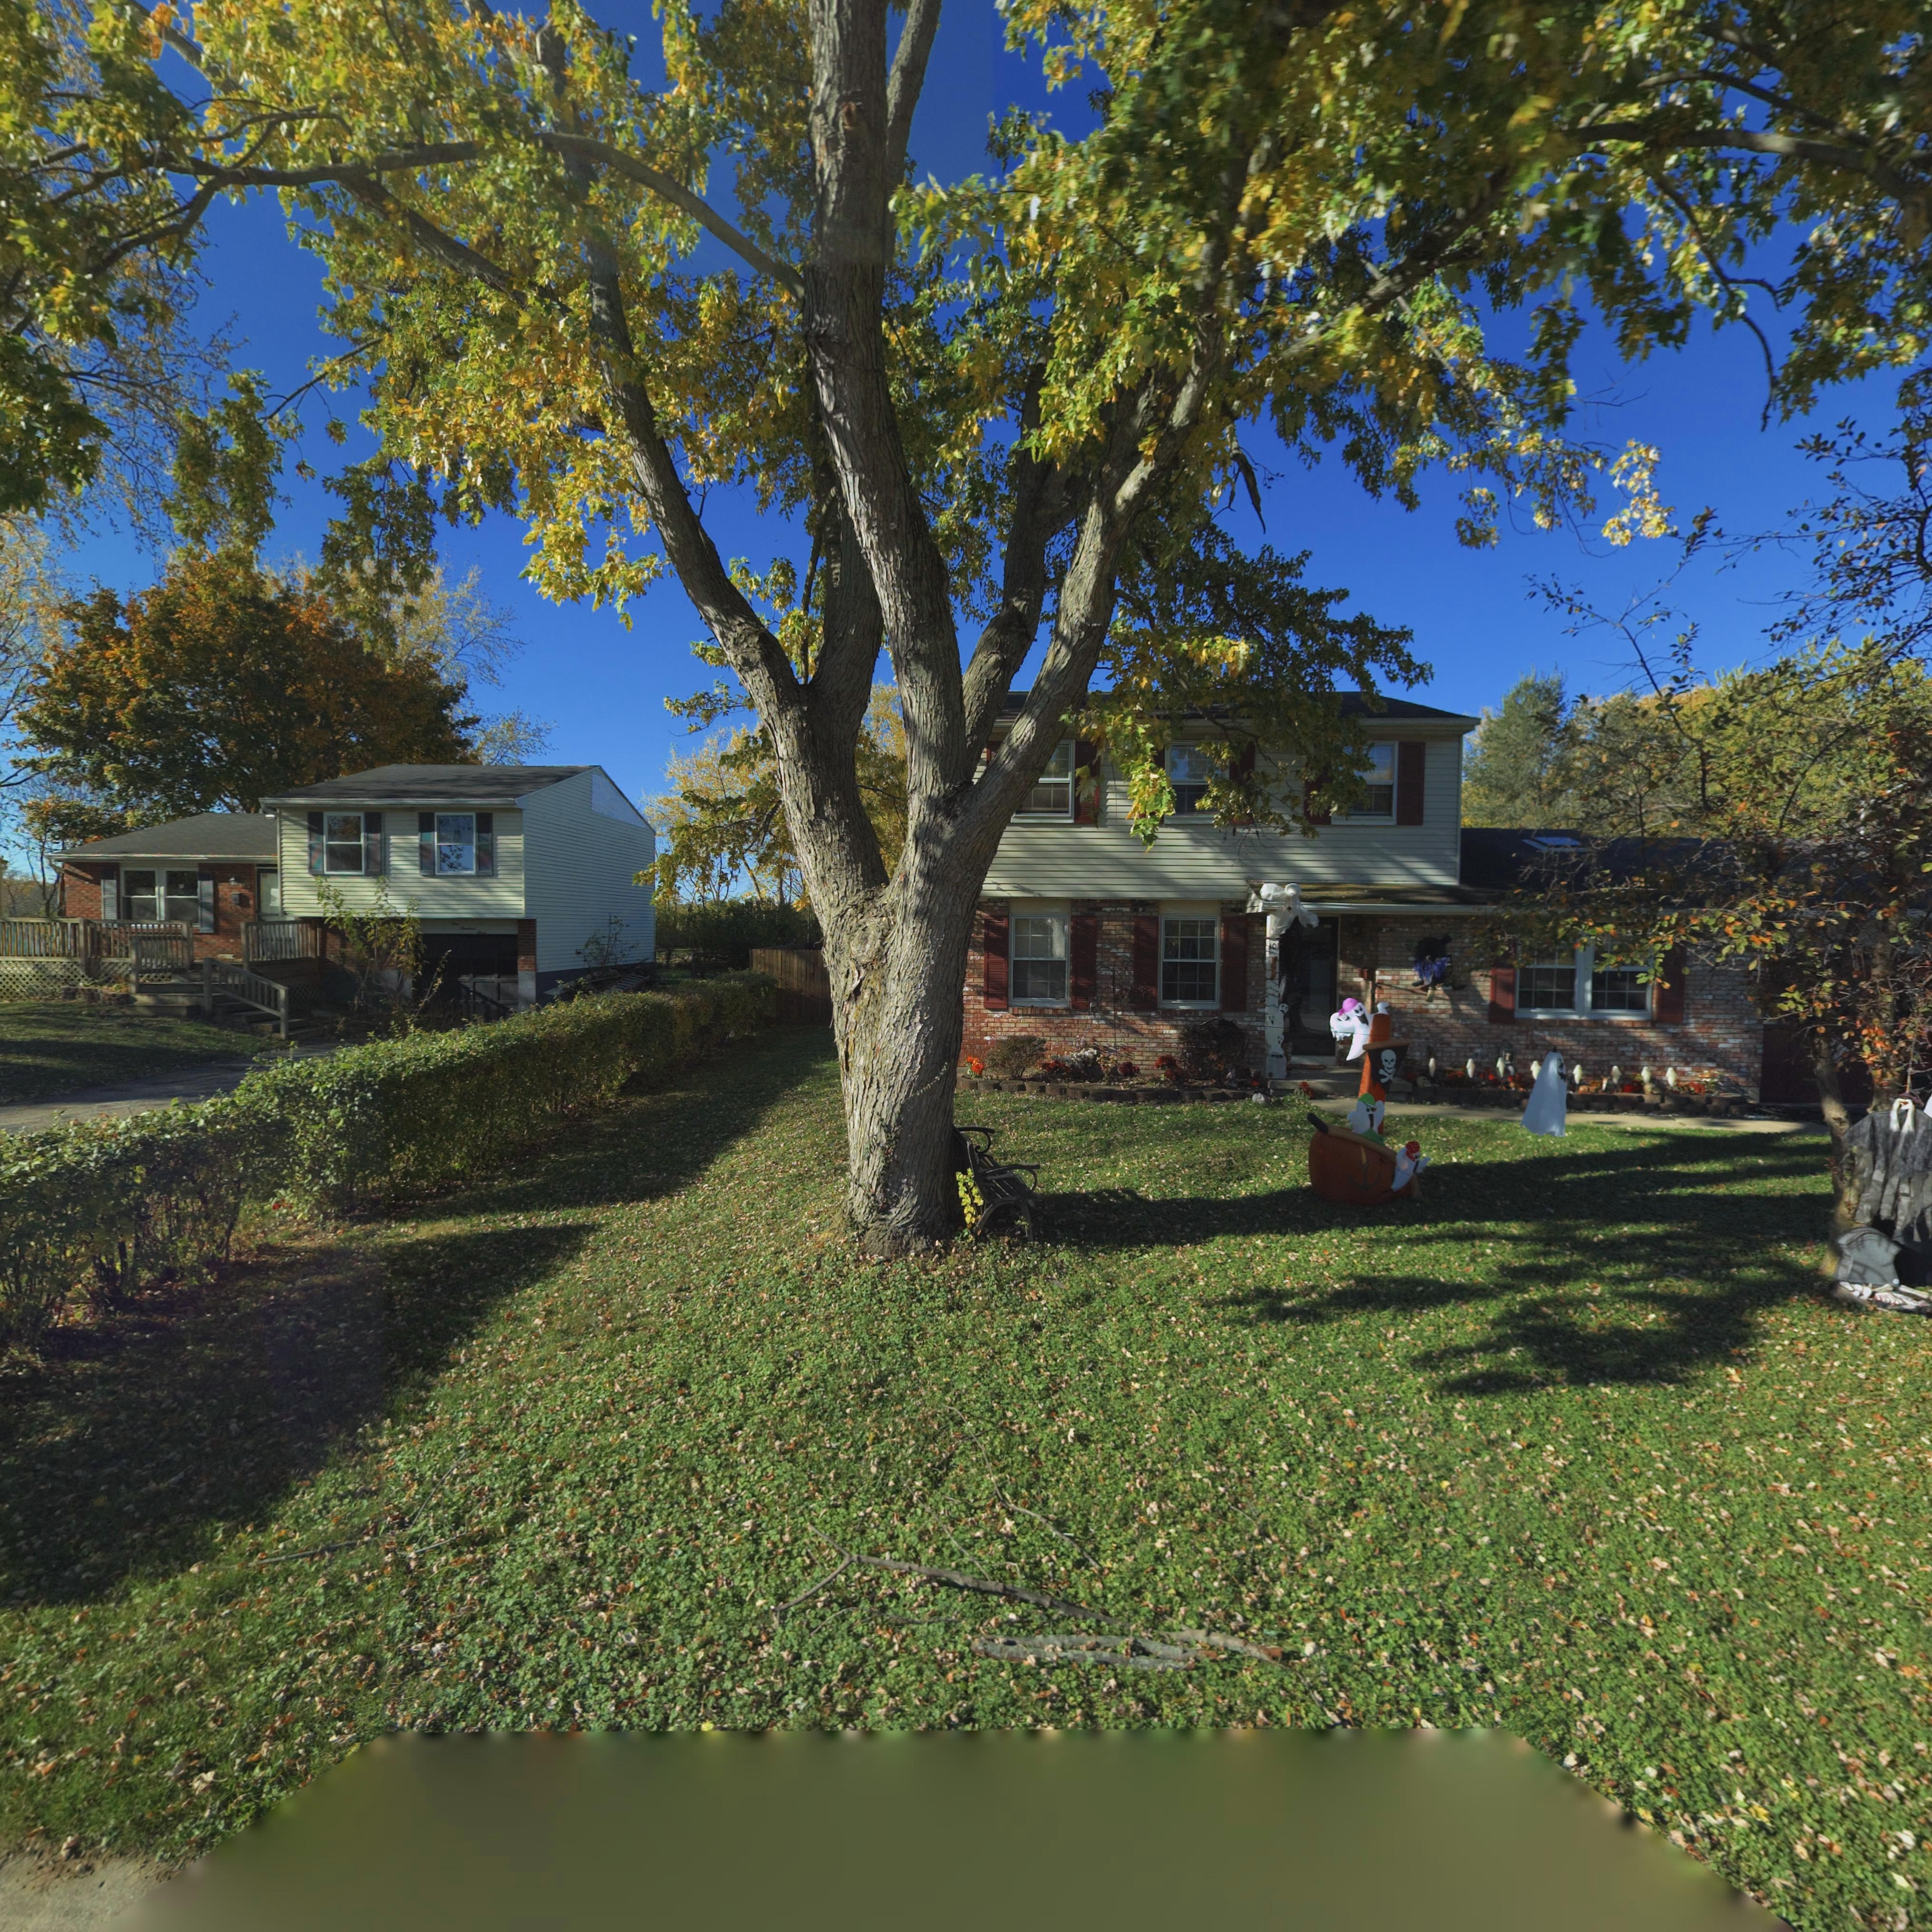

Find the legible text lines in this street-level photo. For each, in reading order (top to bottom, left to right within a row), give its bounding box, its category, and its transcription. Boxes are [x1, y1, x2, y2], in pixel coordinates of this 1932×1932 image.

[1269, 942, 1280, 951] StreetNumber: 101